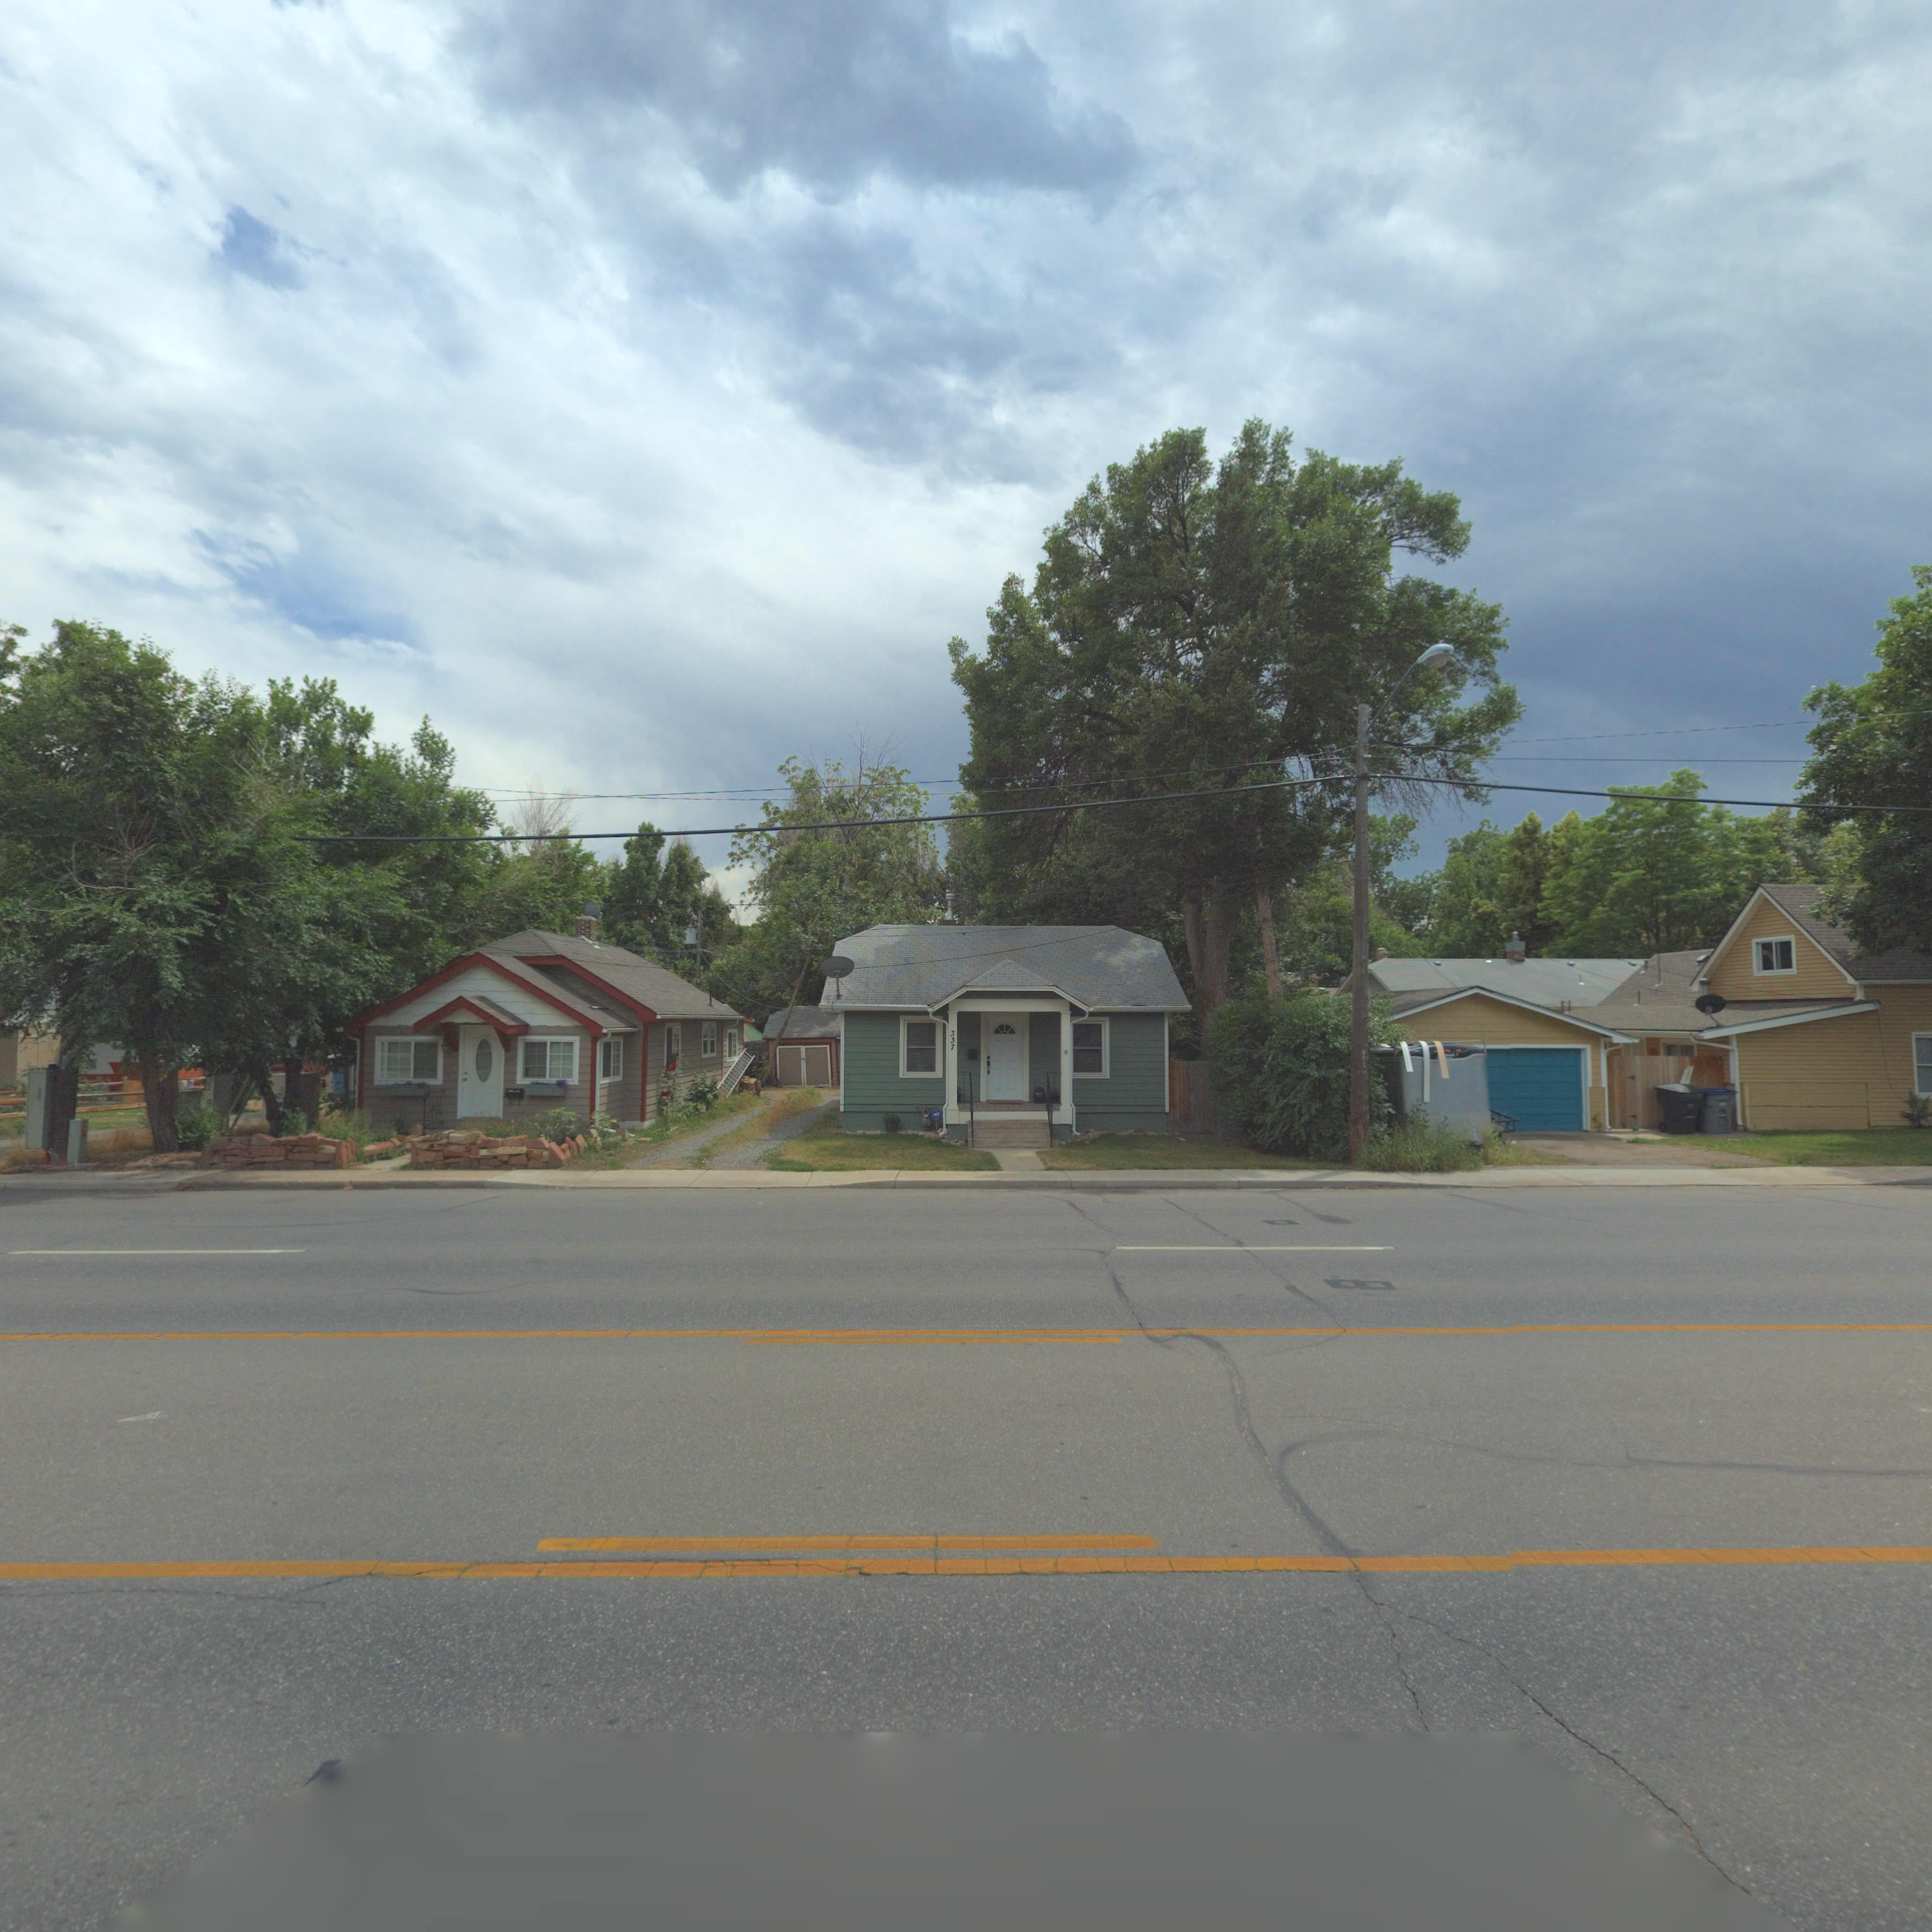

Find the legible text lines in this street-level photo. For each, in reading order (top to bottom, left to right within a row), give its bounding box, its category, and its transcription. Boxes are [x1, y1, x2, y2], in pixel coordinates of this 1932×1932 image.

[950, 1031, 955, 1051] StreetNumber: 337